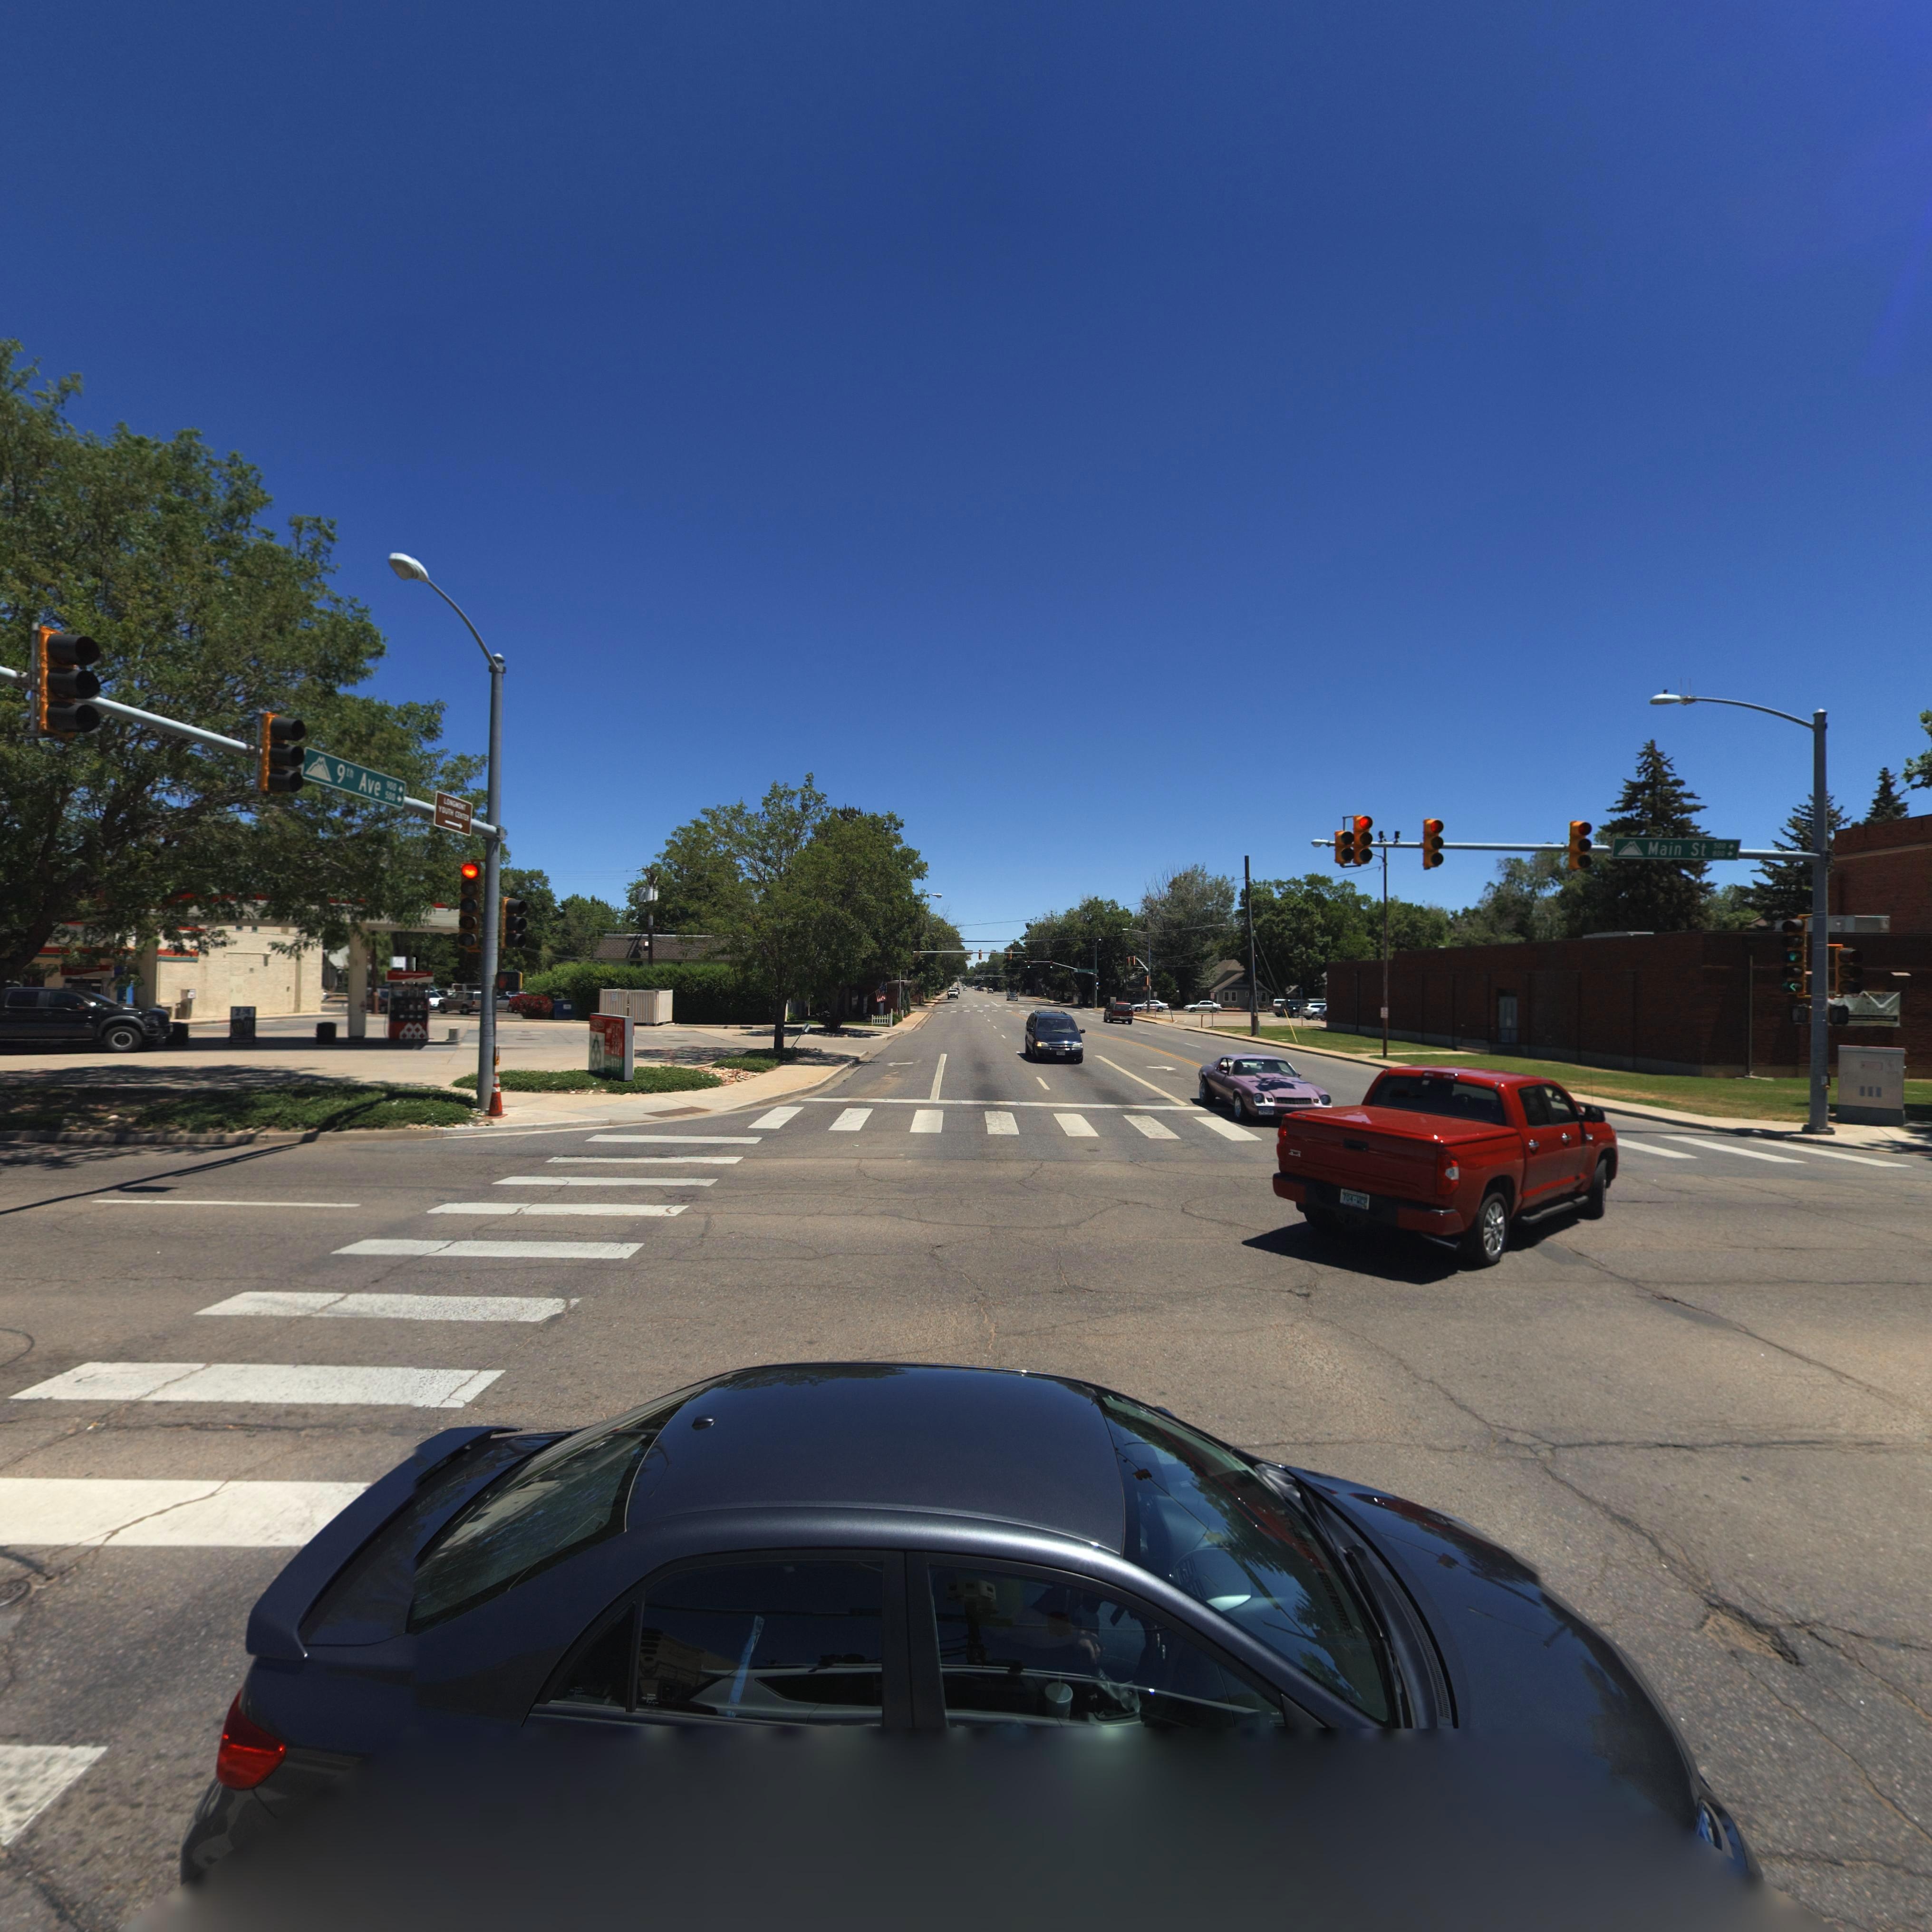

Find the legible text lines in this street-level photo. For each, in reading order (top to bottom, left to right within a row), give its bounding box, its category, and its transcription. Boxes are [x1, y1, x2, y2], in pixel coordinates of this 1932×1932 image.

[337, 763, 381, 797] StreetName: 9th Ave
[386, 780, 397, 791] StreetNumberRange: 900
[385, 790, 402, 802] StreetNumberRange: 500->
[1647, 841, 1706, 856] StreetName: Main St
[1713, 842, 1726, 849] StreetNumberRange: 500
[1711, 850, 1734, 857] StreetNumberRange: 800->